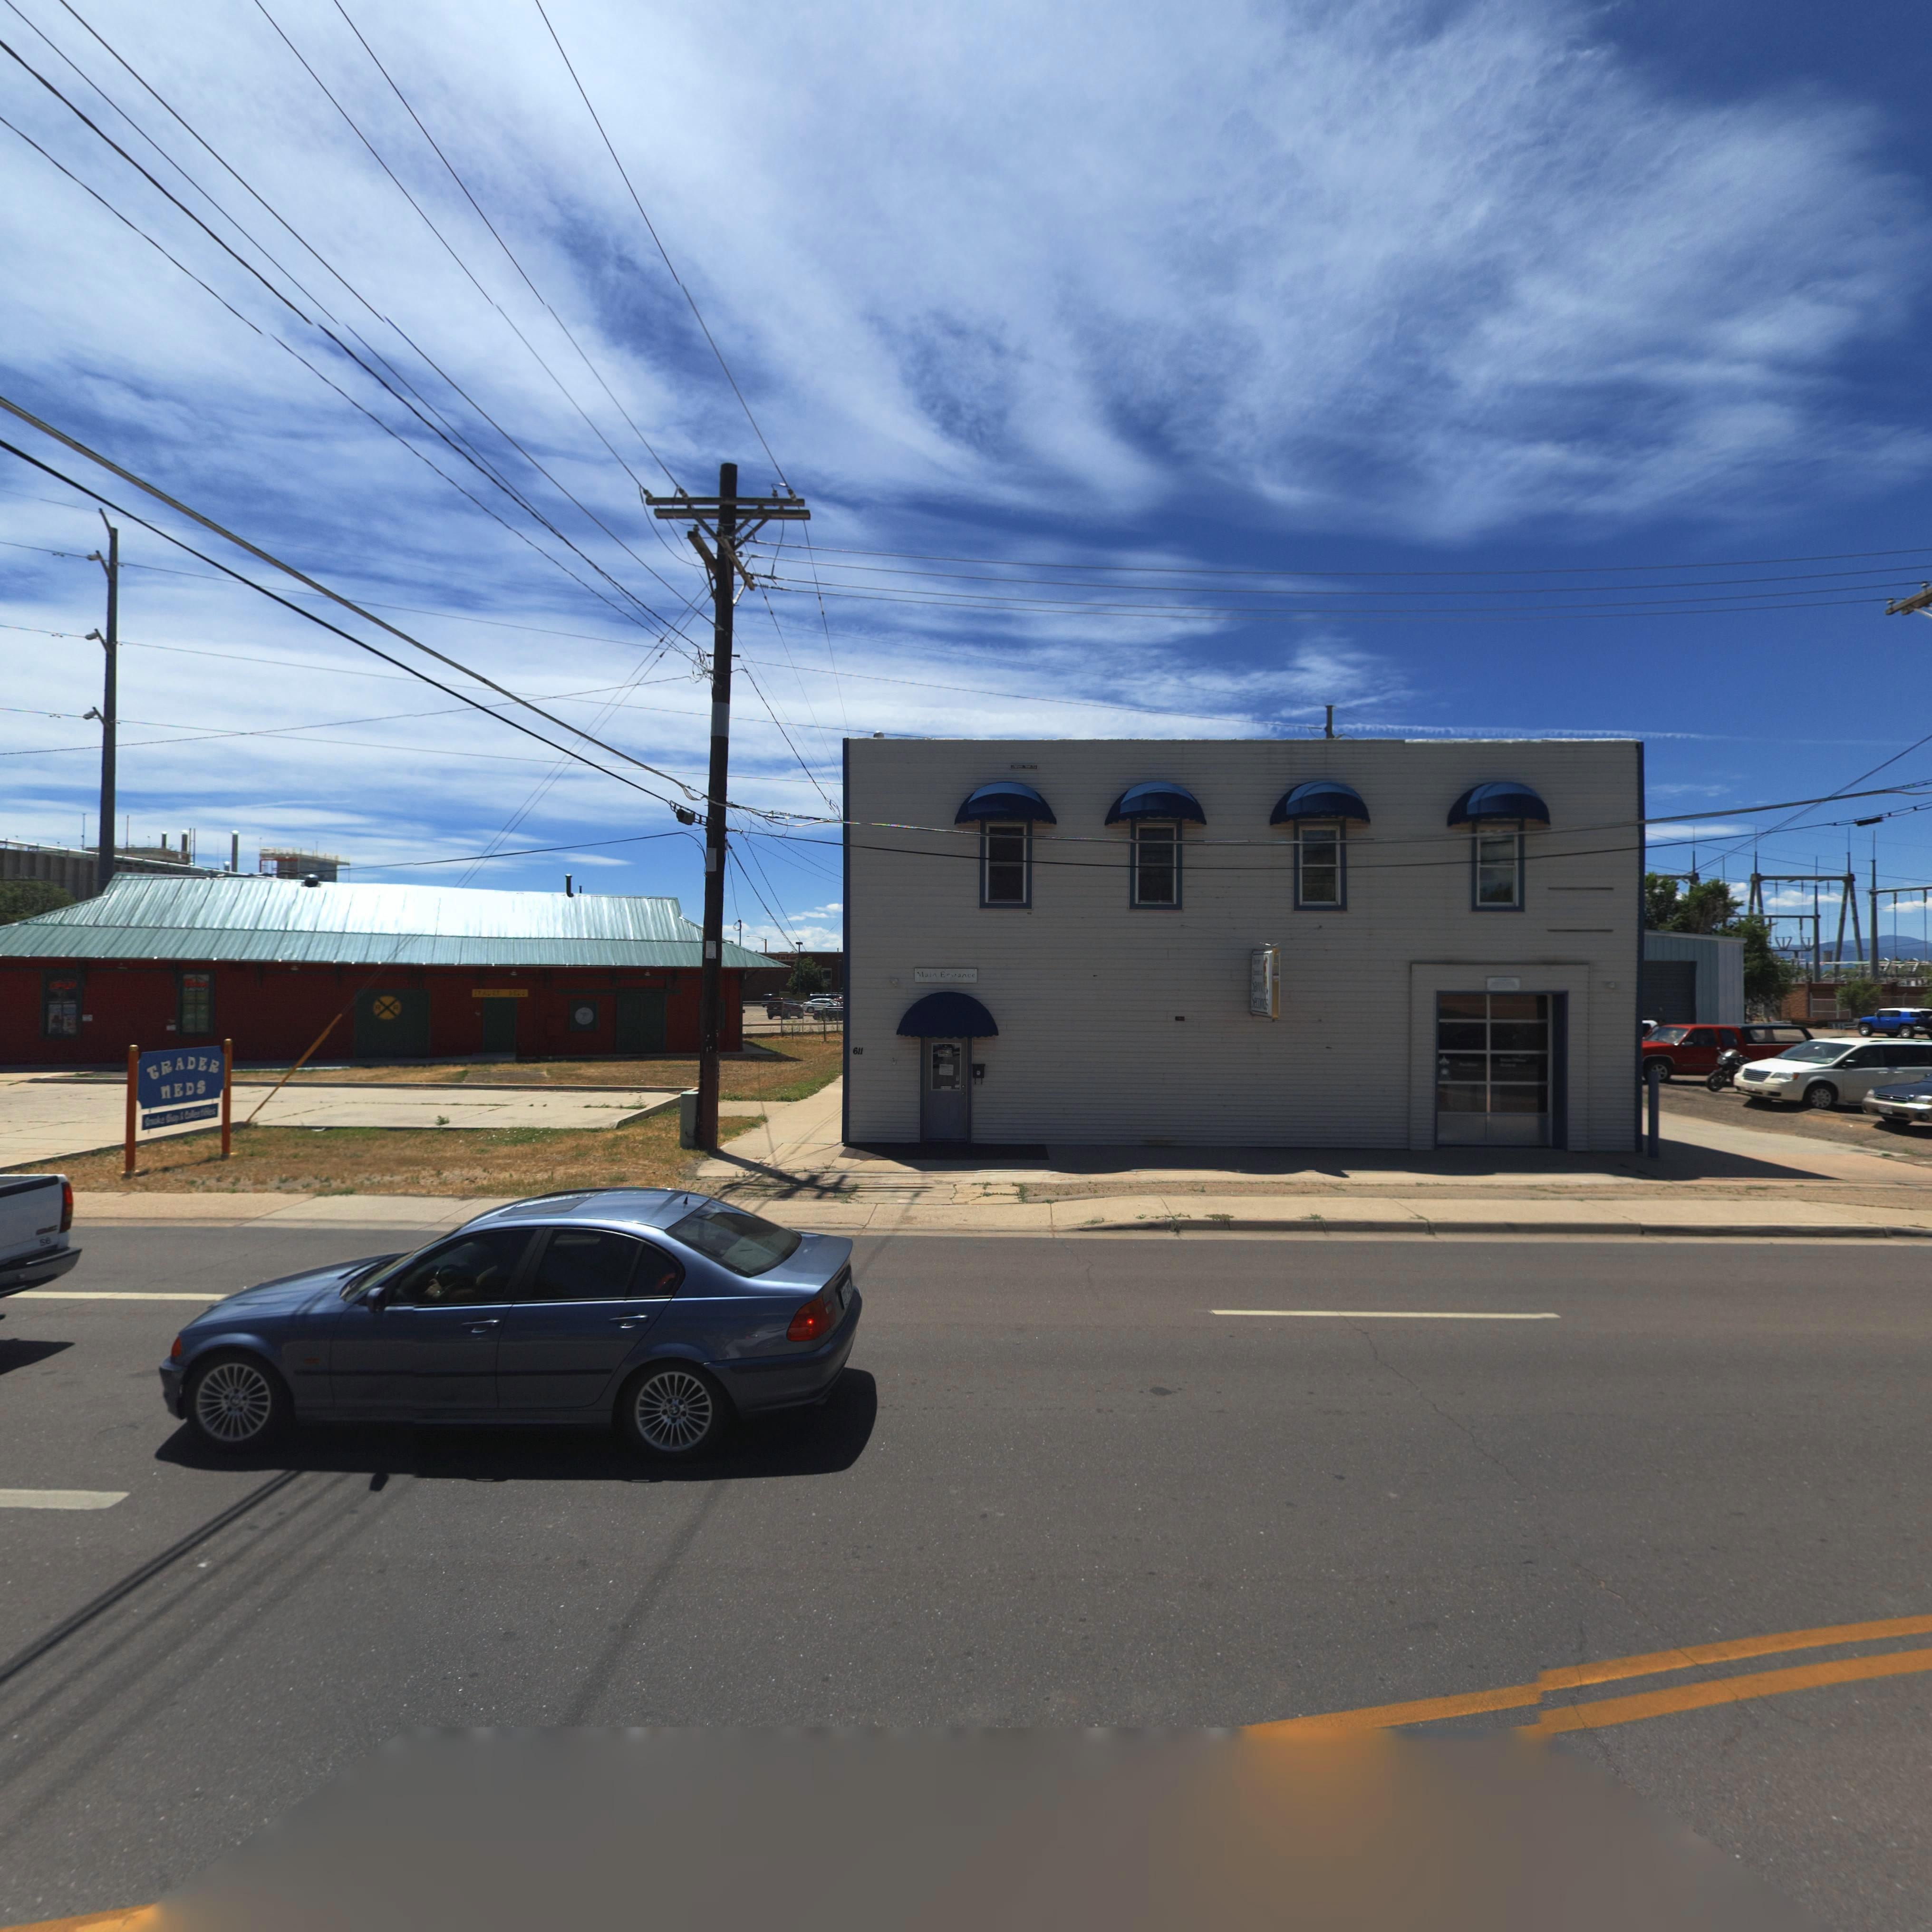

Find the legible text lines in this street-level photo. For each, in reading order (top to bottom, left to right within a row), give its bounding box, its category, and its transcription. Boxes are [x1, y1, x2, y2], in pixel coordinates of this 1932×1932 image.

[473, 990, 526, 996] BusinessName: TRADER MEDS
[1250, 976, 1264, 998] BusinessName: Sav*y
[1251, 992, 1269, 1011] BusinessName: Seconds
[852, 1046, 863, 1055] StreetNumber: 611
[145, 1055, 220, 1080] BusinessName: TRADER
[160, 1079, 206, 1099] BusinessName: MEDS